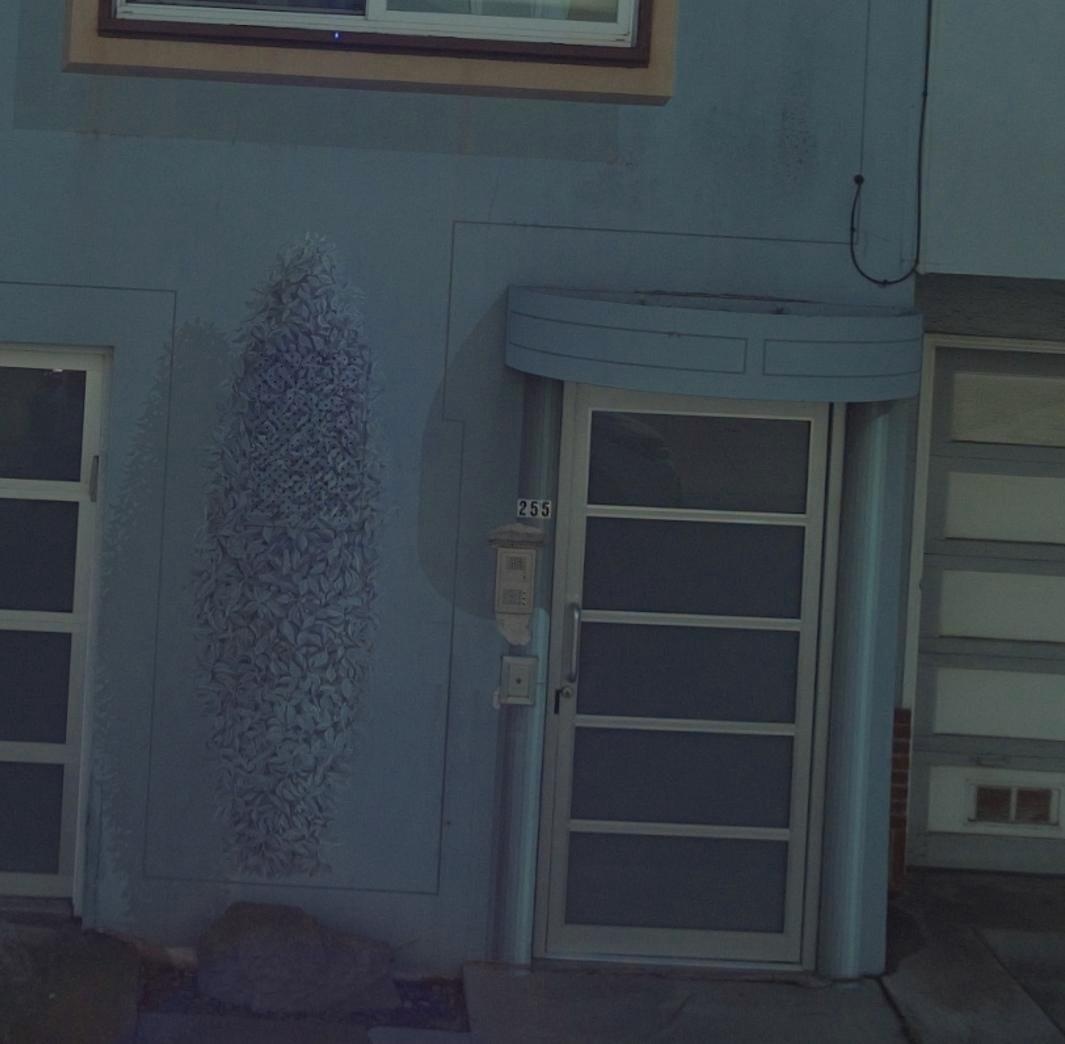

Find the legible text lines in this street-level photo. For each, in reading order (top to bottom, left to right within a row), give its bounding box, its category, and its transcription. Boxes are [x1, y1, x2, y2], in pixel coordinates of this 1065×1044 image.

[517, 500, 550, 518] StreetNumber: 255